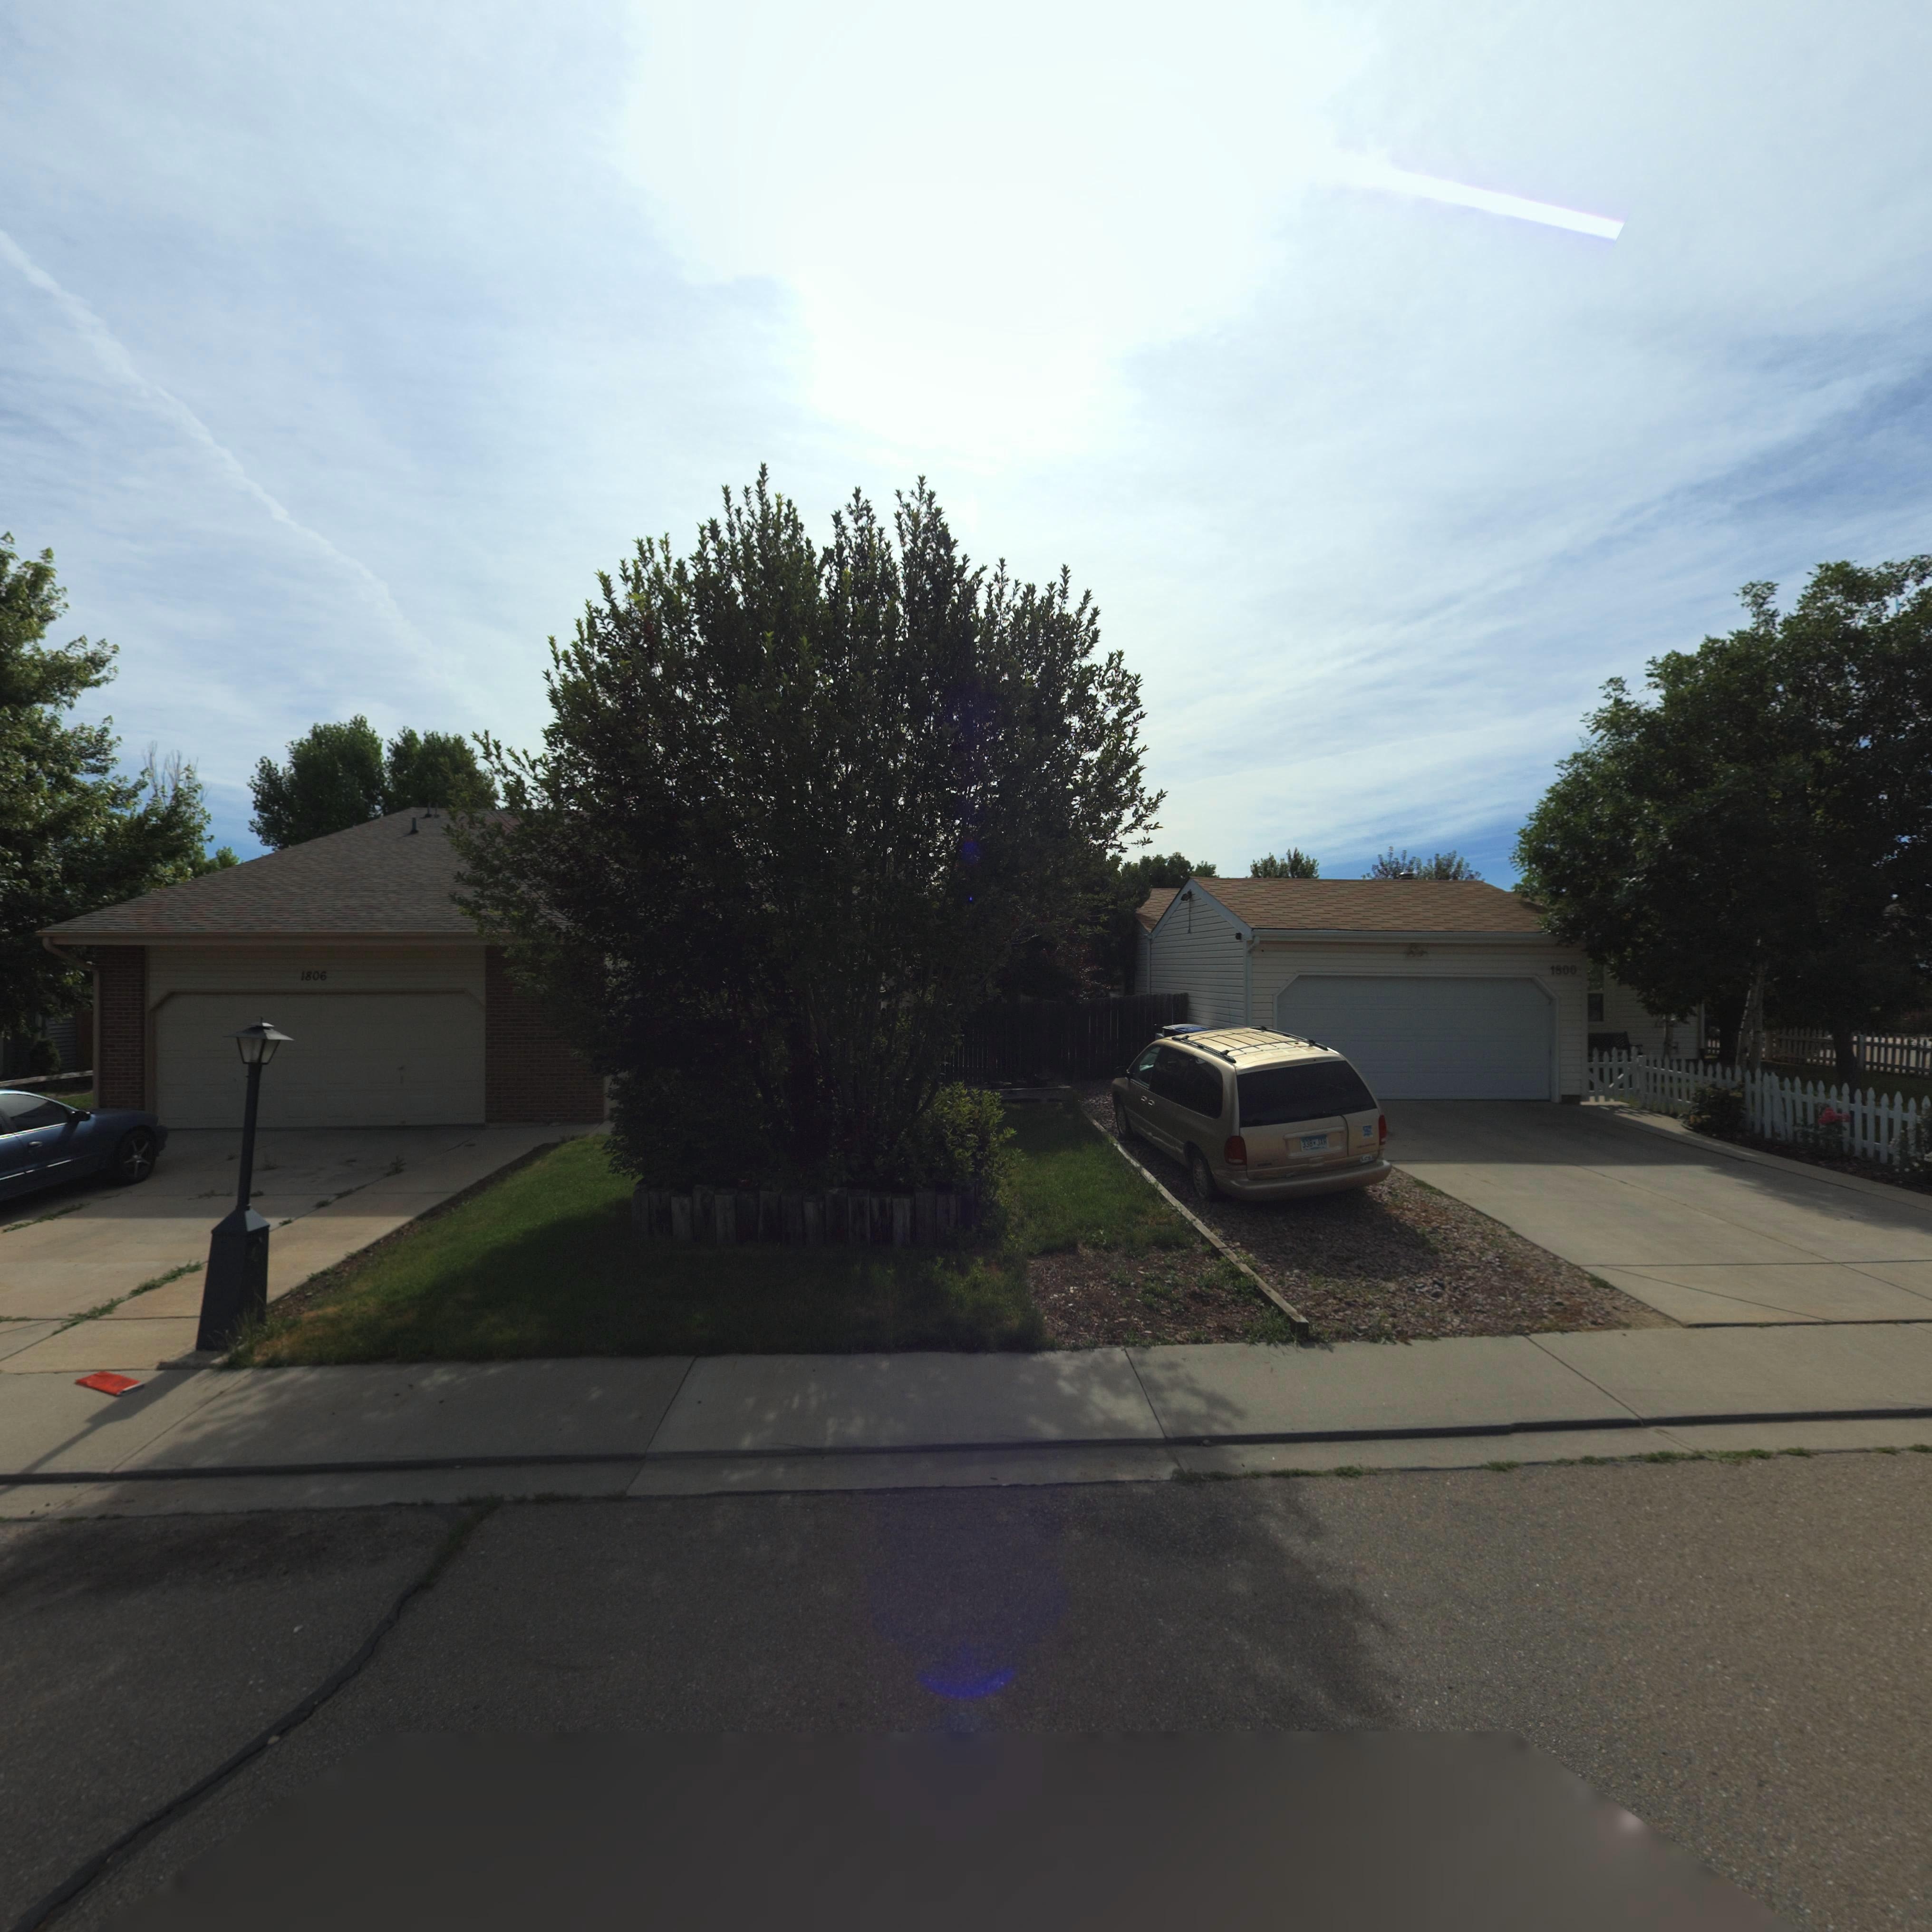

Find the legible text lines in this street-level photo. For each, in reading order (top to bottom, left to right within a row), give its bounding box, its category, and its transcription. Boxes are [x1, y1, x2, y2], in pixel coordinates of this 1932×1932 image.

[1550, 965, 1577, 975] StreetNumber: 1800
[299, 970, 327, 981] StreetNumber: 1806